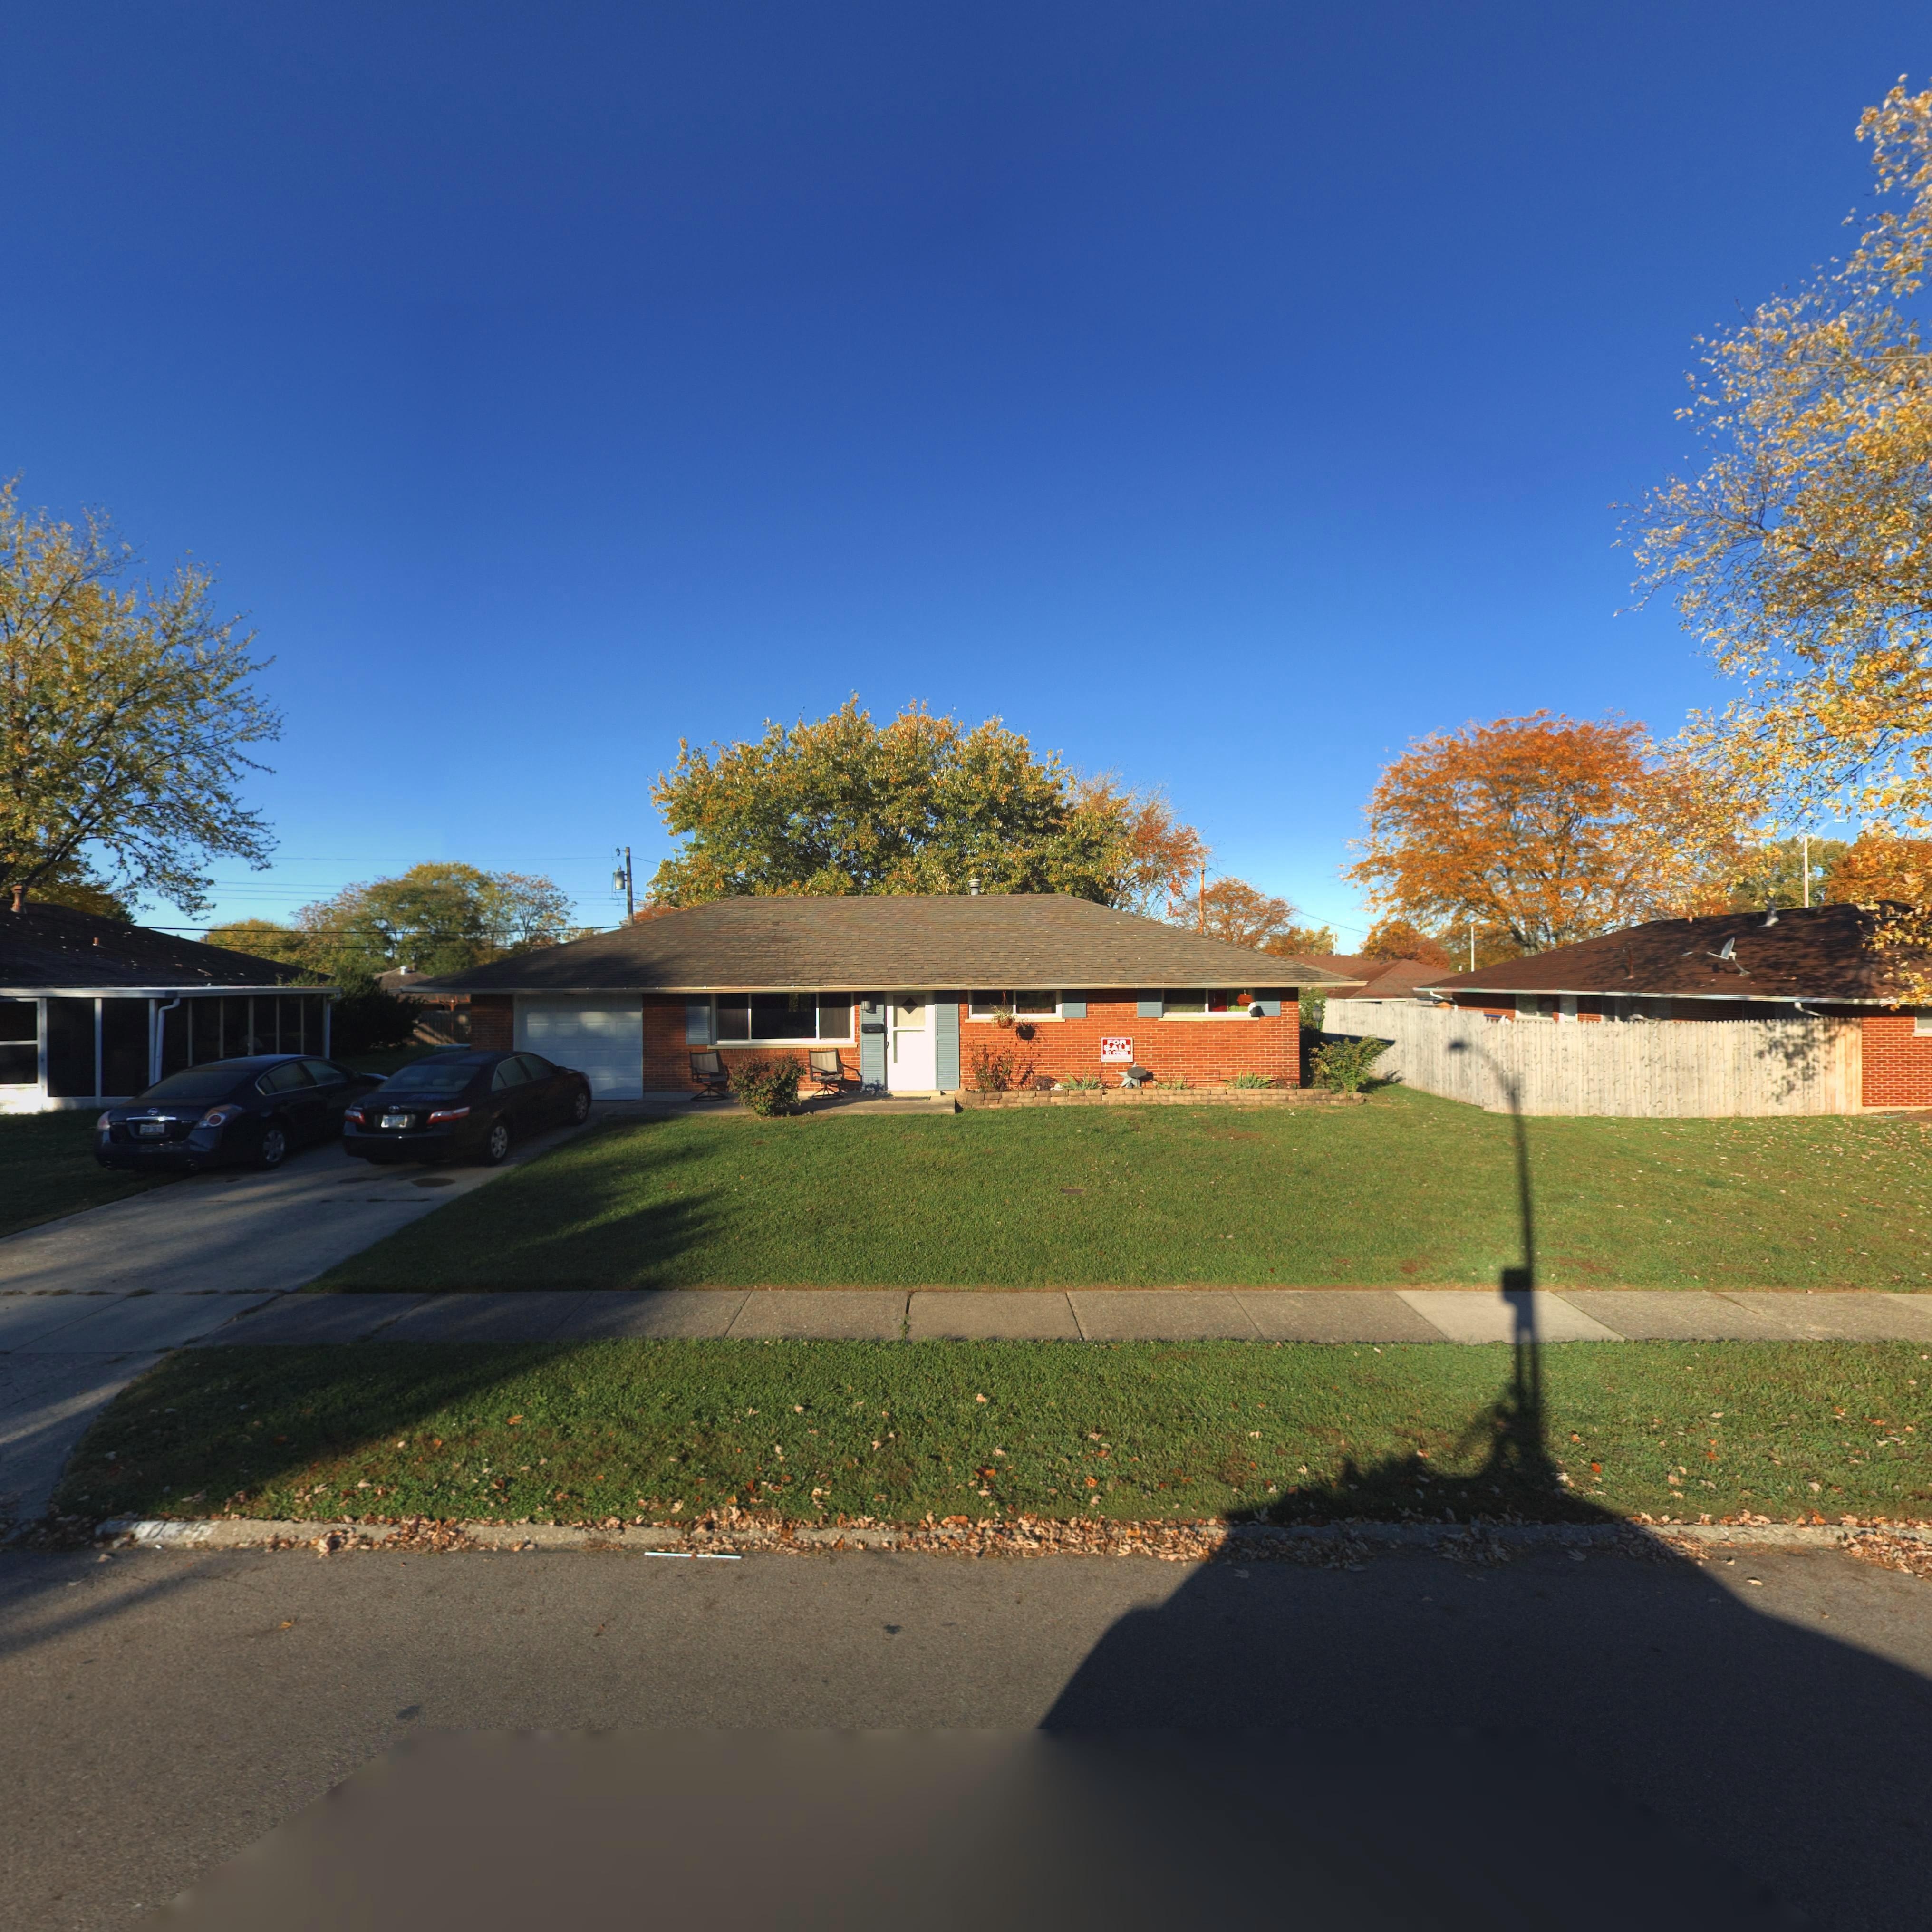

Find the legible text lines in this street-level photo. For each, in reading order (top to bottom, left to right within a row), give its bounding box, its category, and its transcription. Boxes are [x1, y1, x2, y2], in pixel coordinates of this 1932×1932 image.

[145, 1520, 168, 1541] StreetNumber: 0